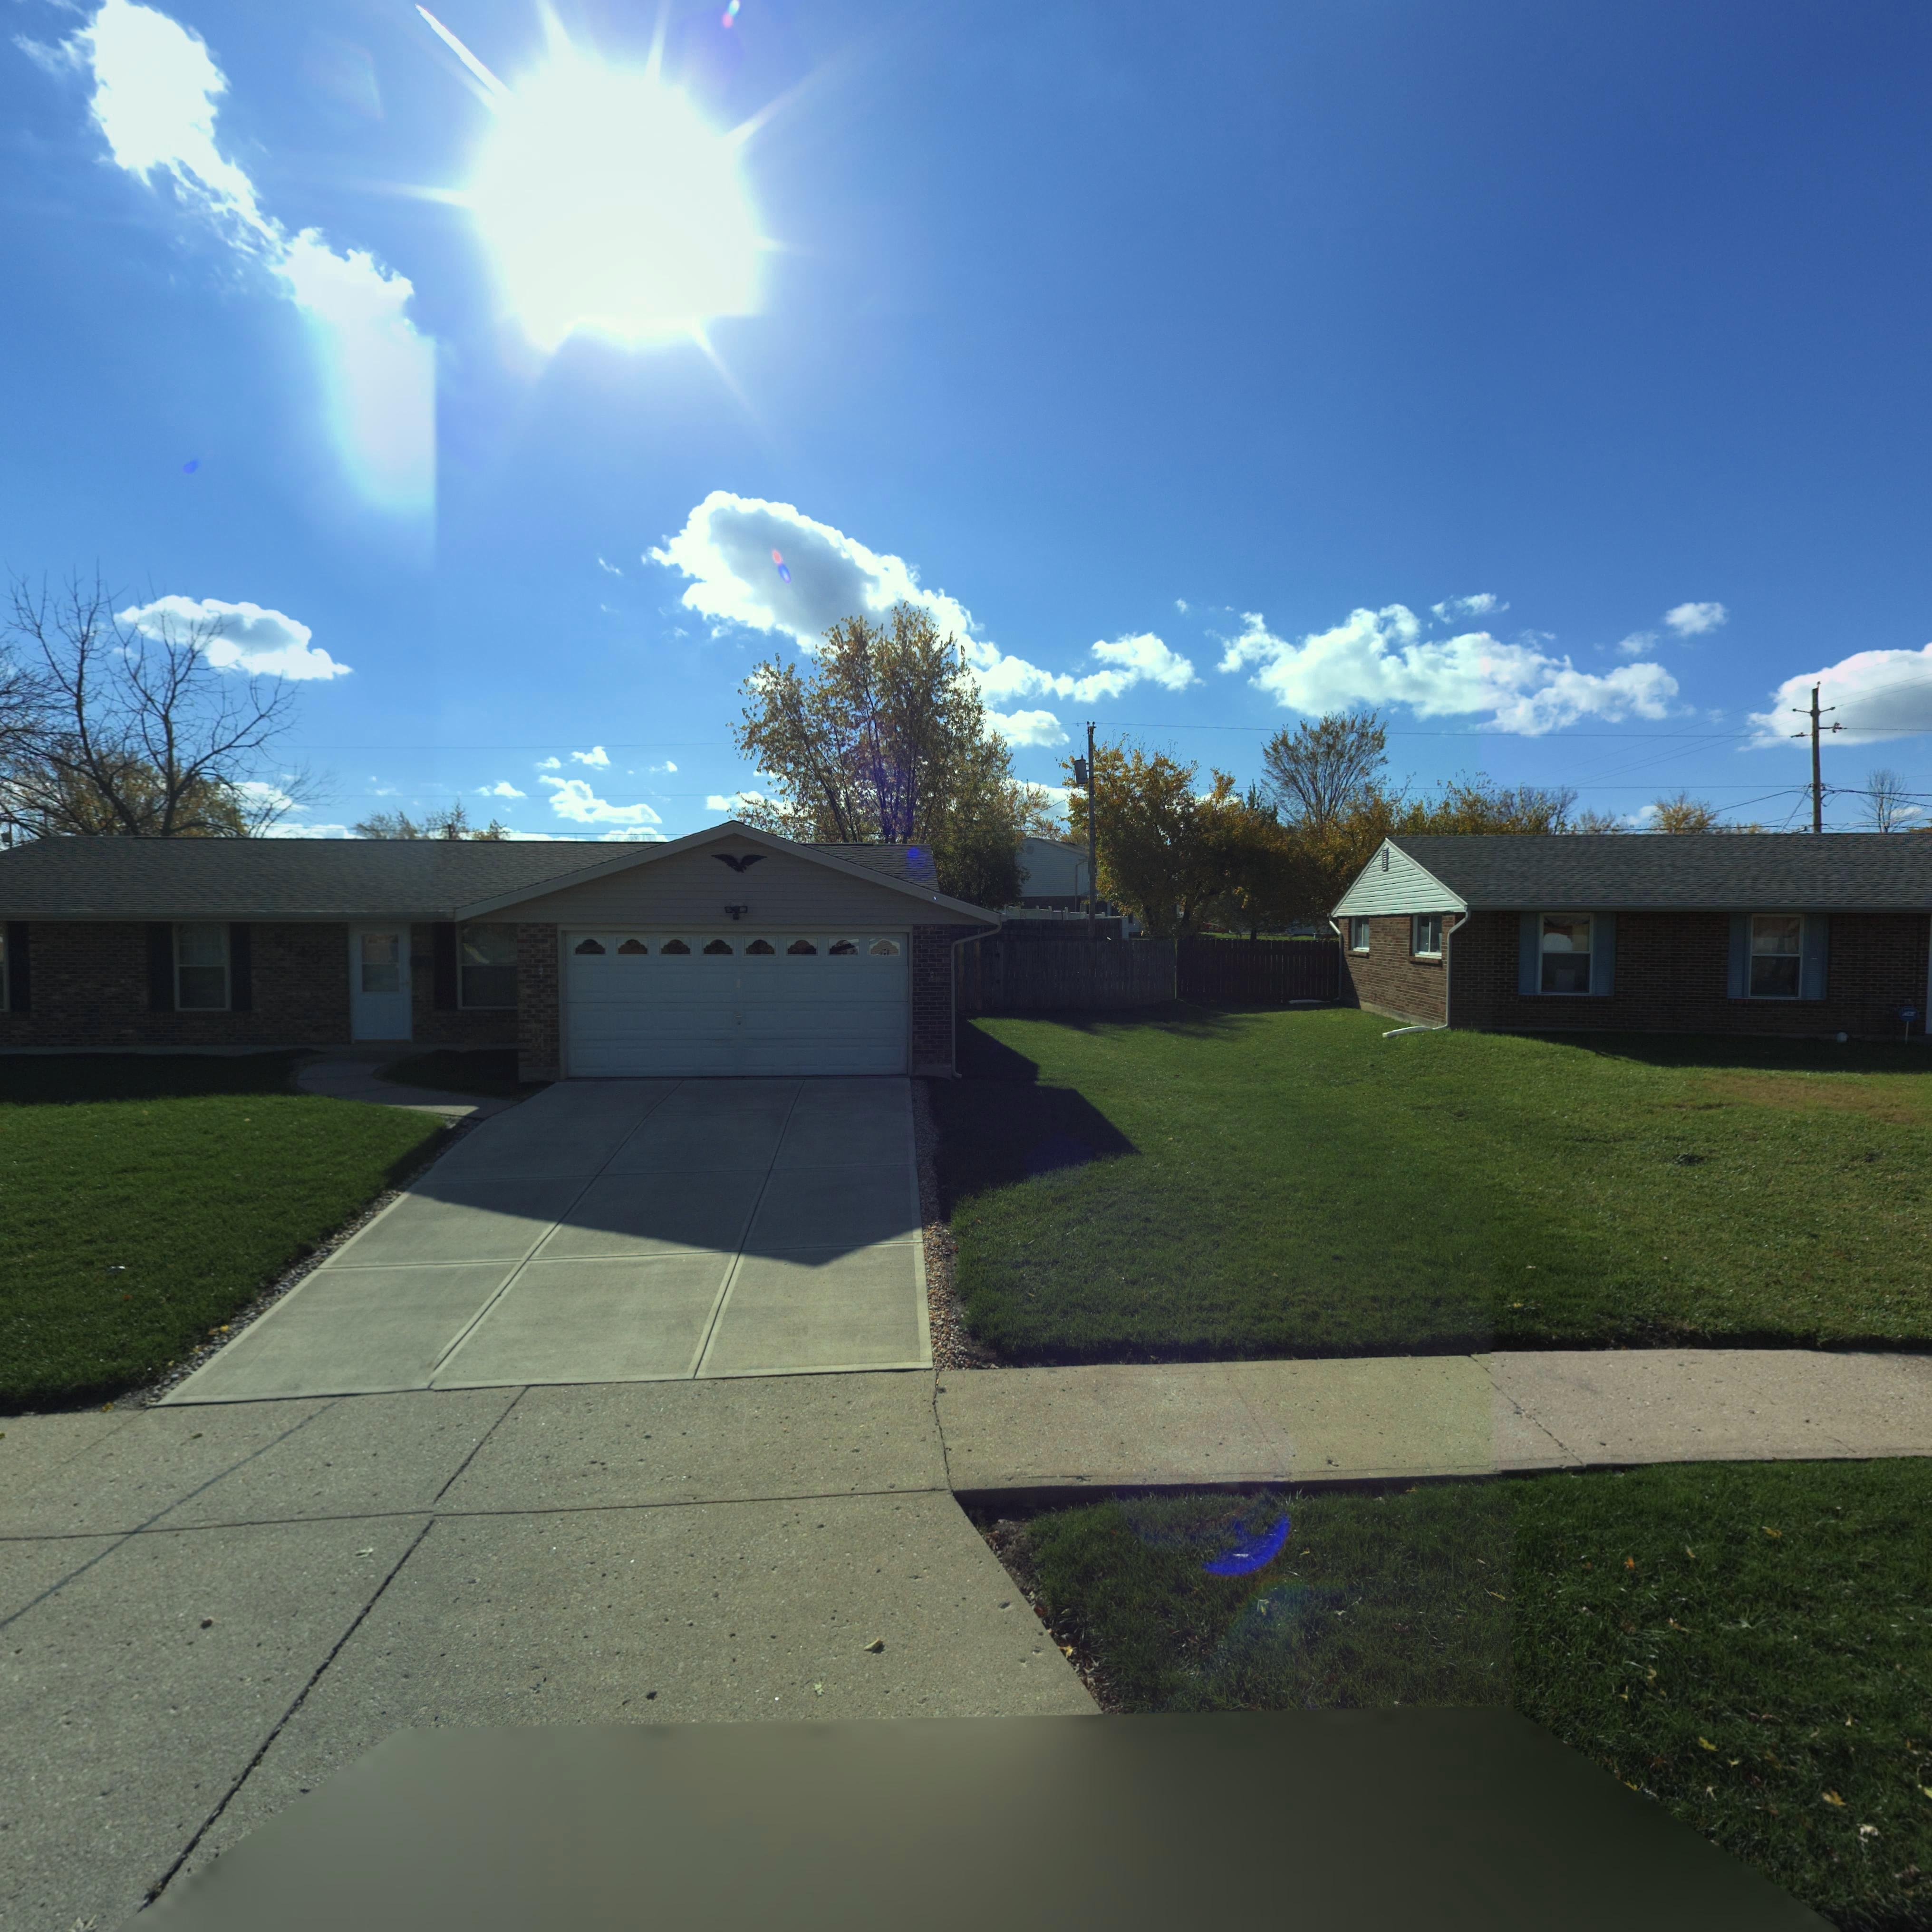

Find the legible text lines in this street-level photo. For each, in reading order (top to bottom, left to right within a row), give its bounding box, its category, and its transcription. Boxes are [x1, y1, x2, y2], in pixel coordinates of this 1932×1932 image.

[273, 931, 323, 967] StreetNumber: ***0